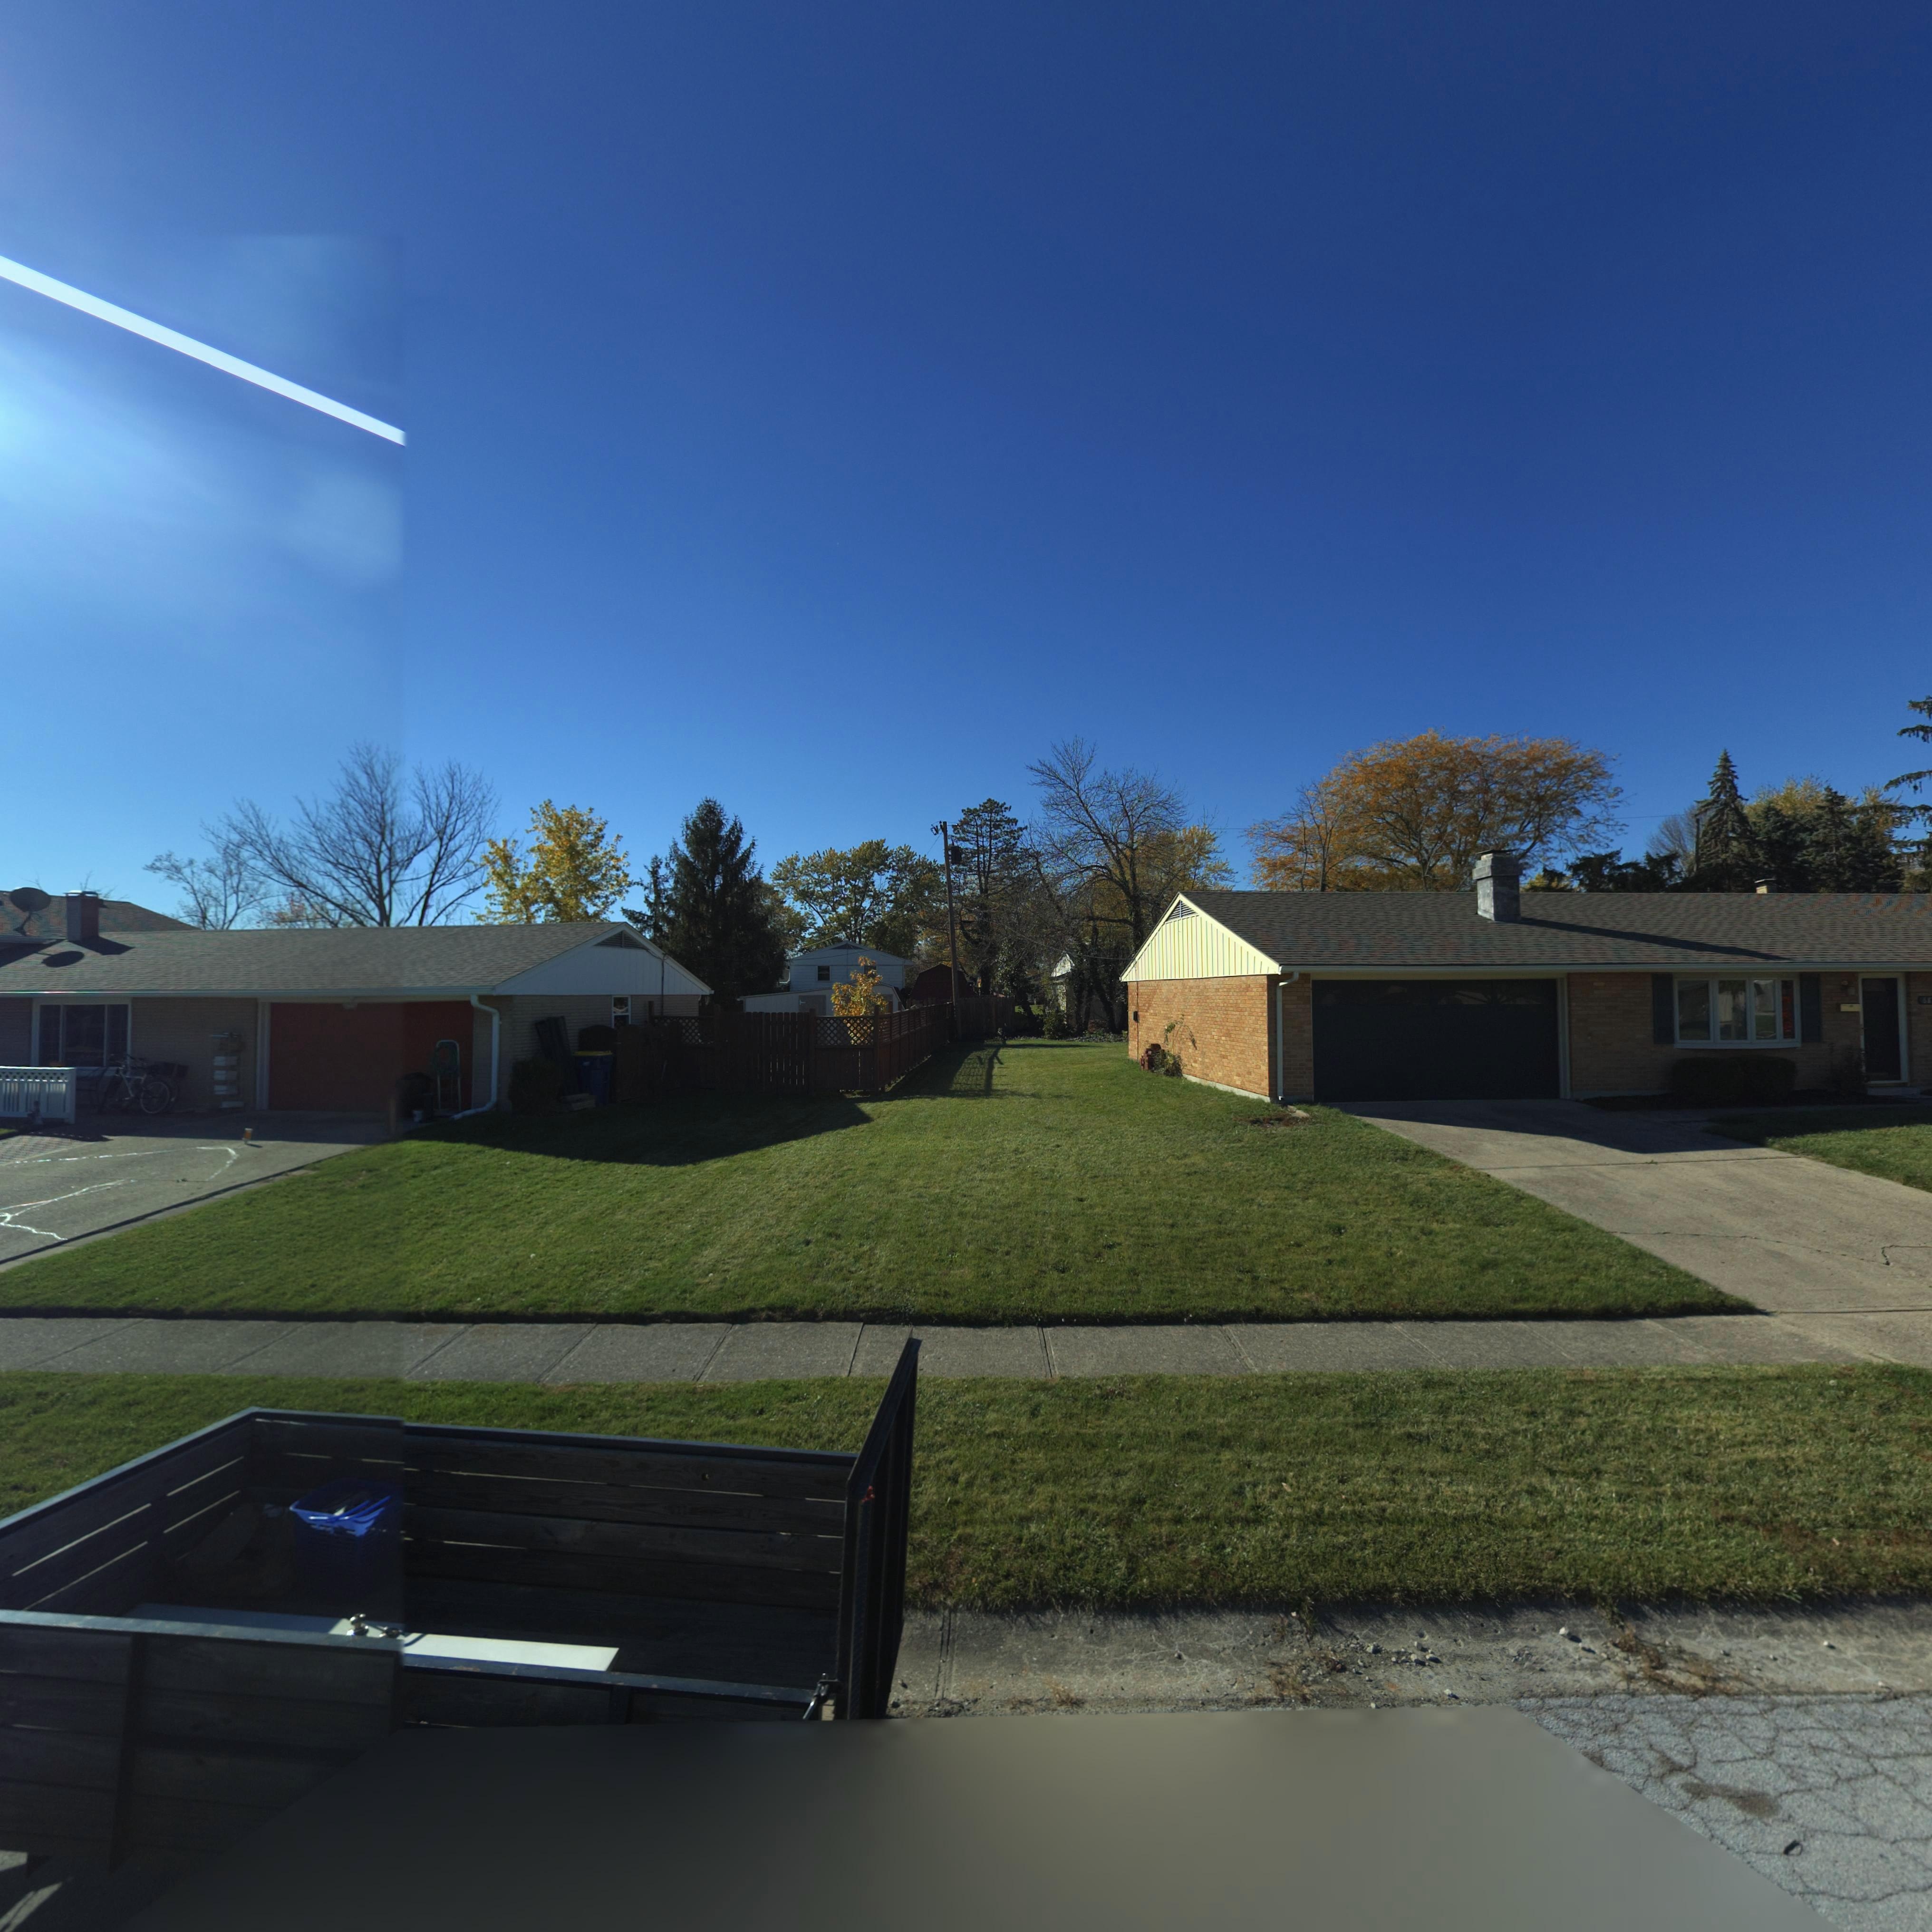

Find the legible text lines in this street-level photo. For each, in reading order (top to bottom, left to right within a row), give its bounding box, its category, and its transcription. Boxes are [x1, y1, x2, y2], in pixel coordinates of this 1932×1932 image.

[1922, 996, 1931, 1004] StreetNumber: 68